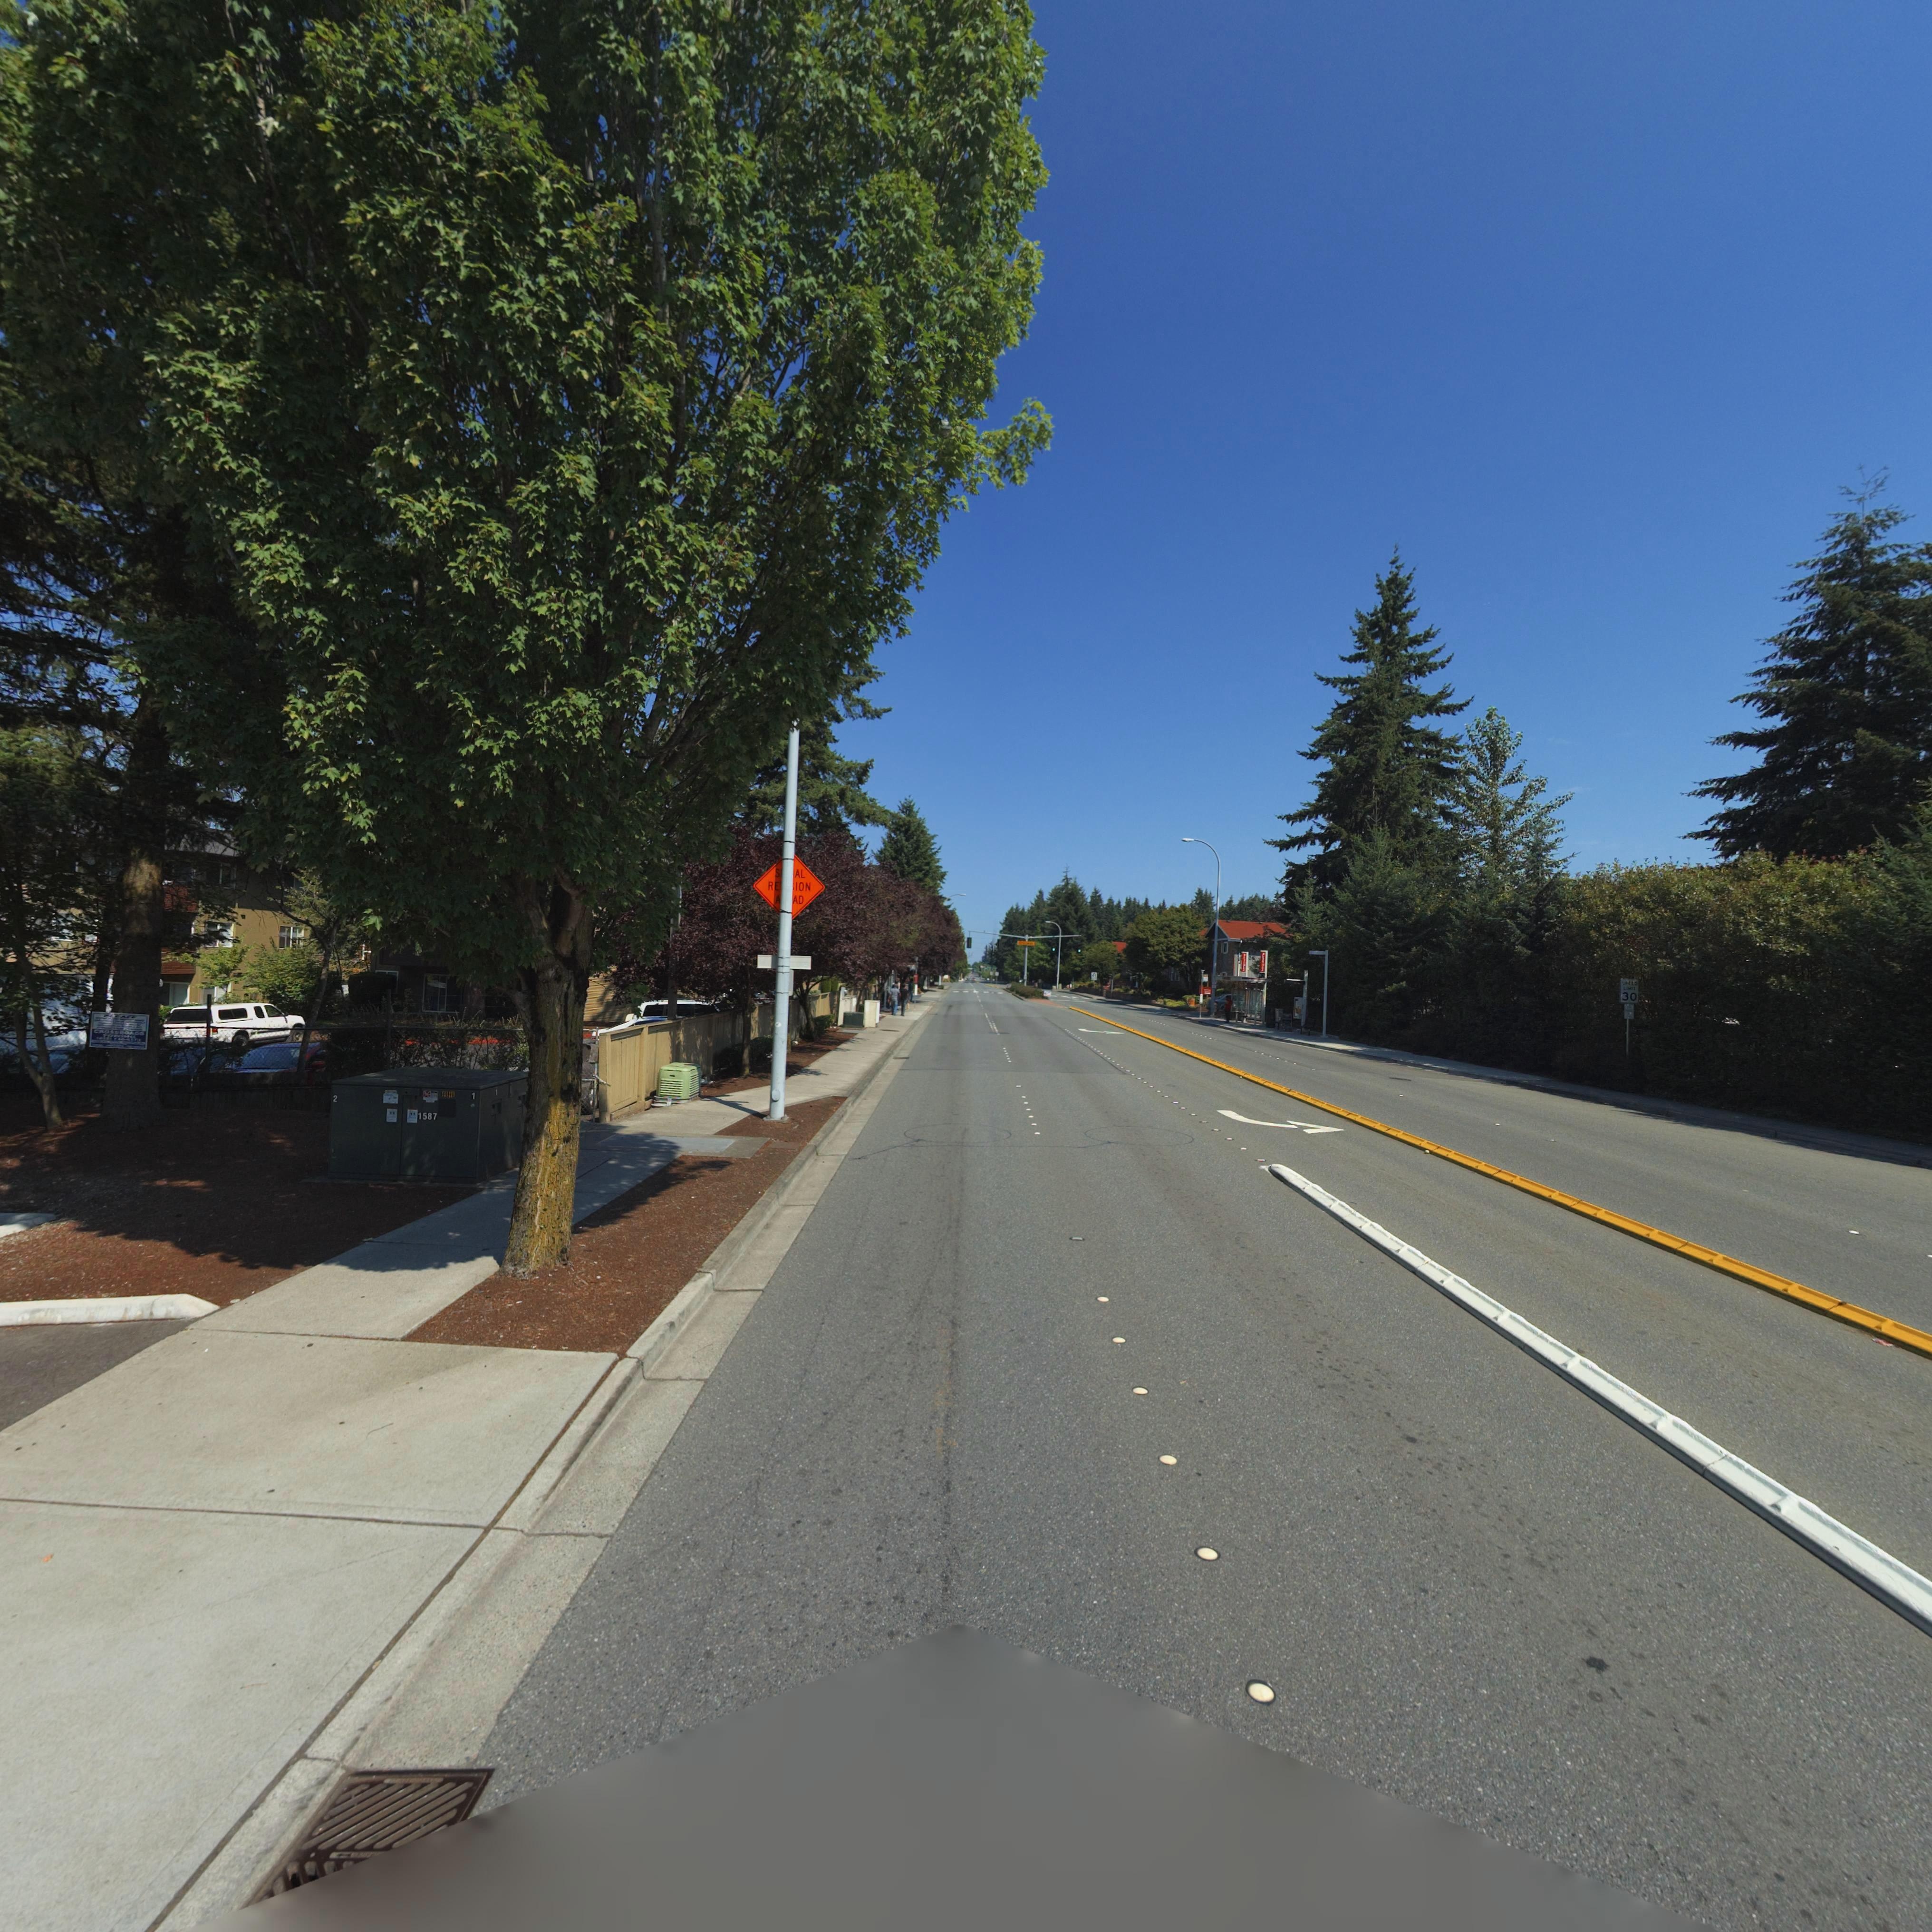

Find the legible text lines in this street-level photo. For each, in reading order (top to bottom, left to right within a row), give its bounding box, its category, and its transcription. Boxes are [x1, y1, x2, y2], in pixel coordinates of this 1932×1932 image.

[1621, 991, 1637, 1002] None: 30
[471, 1091, 476, 1101] StreetNumber: 1
[416, 1111, 438, 1121] None: 1587